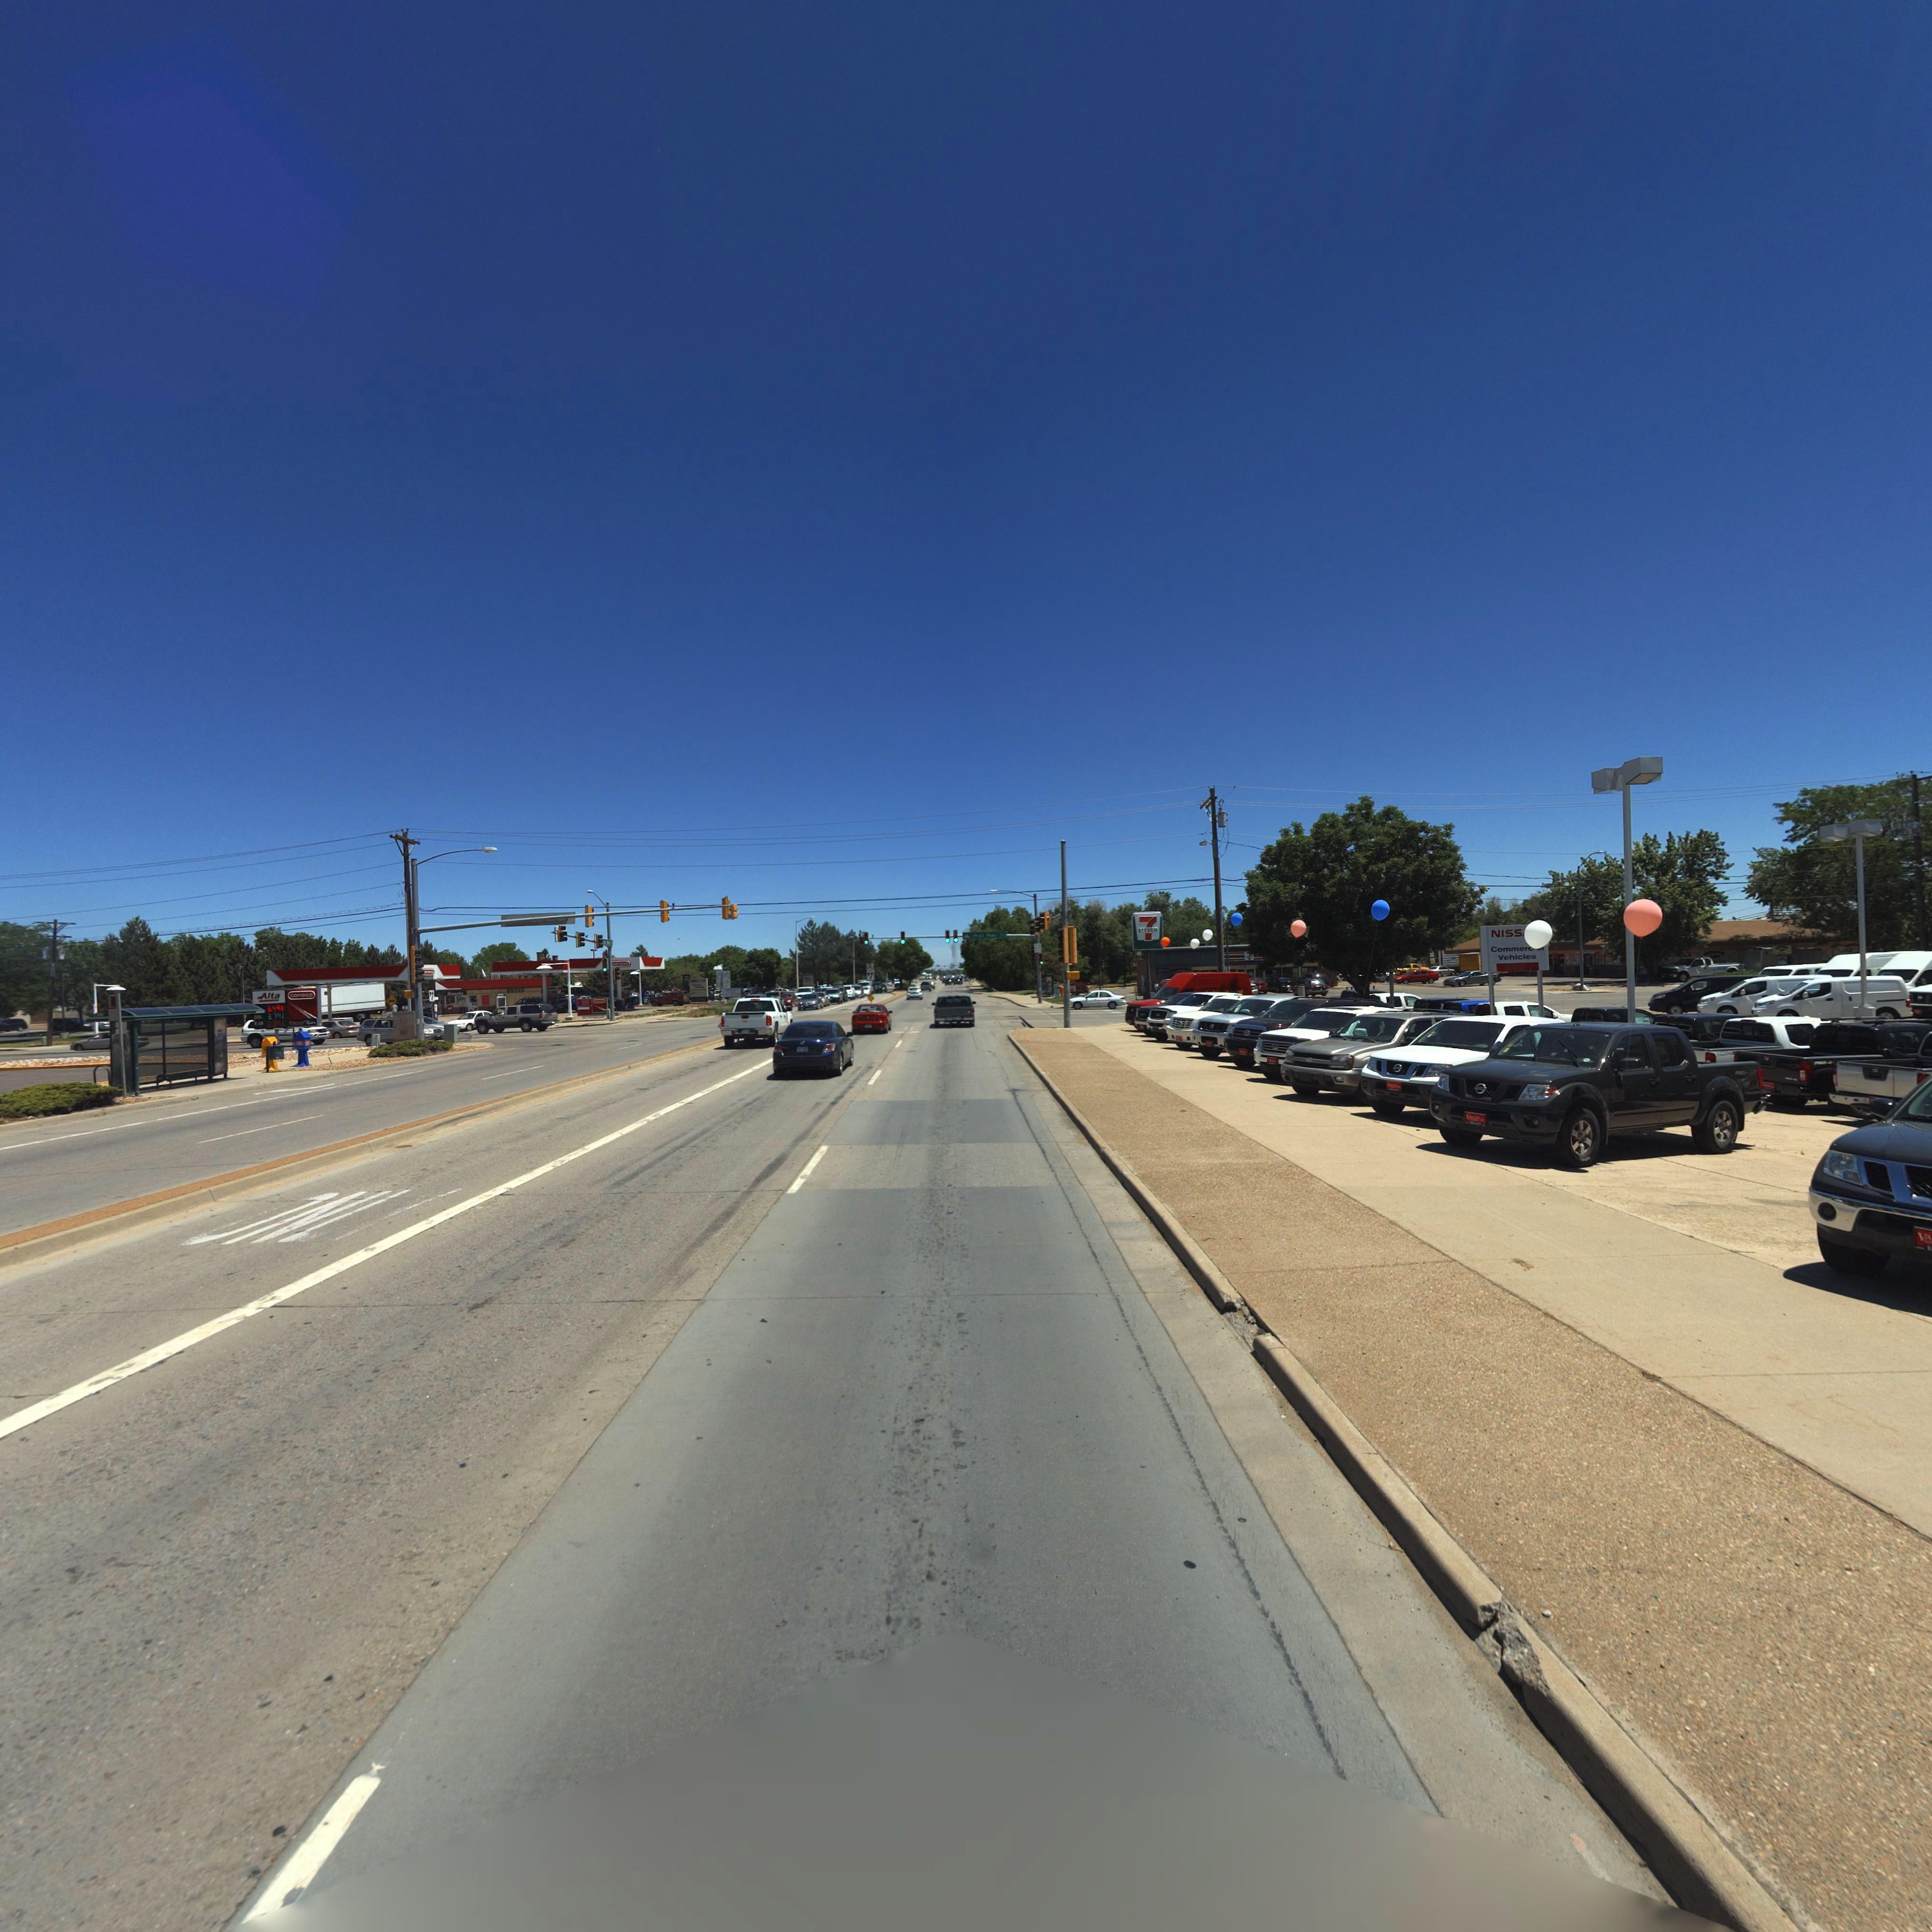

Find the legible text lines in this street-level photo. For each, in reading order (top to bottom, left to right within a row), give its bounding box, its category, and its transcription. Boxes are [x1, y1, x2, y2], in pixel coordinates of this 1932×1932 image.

[973, 933, 997, 938] StreetName: P
[1139, 915, 1157, 940] BusinessName: 7
[1138, 927, 1158, 932] BusinessName: ELEVEN
[1491, 928, 1523, 938] BusinessName: NISS
[1490, 946, 1534, 953] BusinessName: Commerc
[1497, 953, 1536, 960] BusinessName: Vehicles
[612, 961, 628, 966] BusinessName: co*o**
[260, 992, 280, 999] BusinessName: Alta
[290, 992, 313, 998] BusinessName: conoco